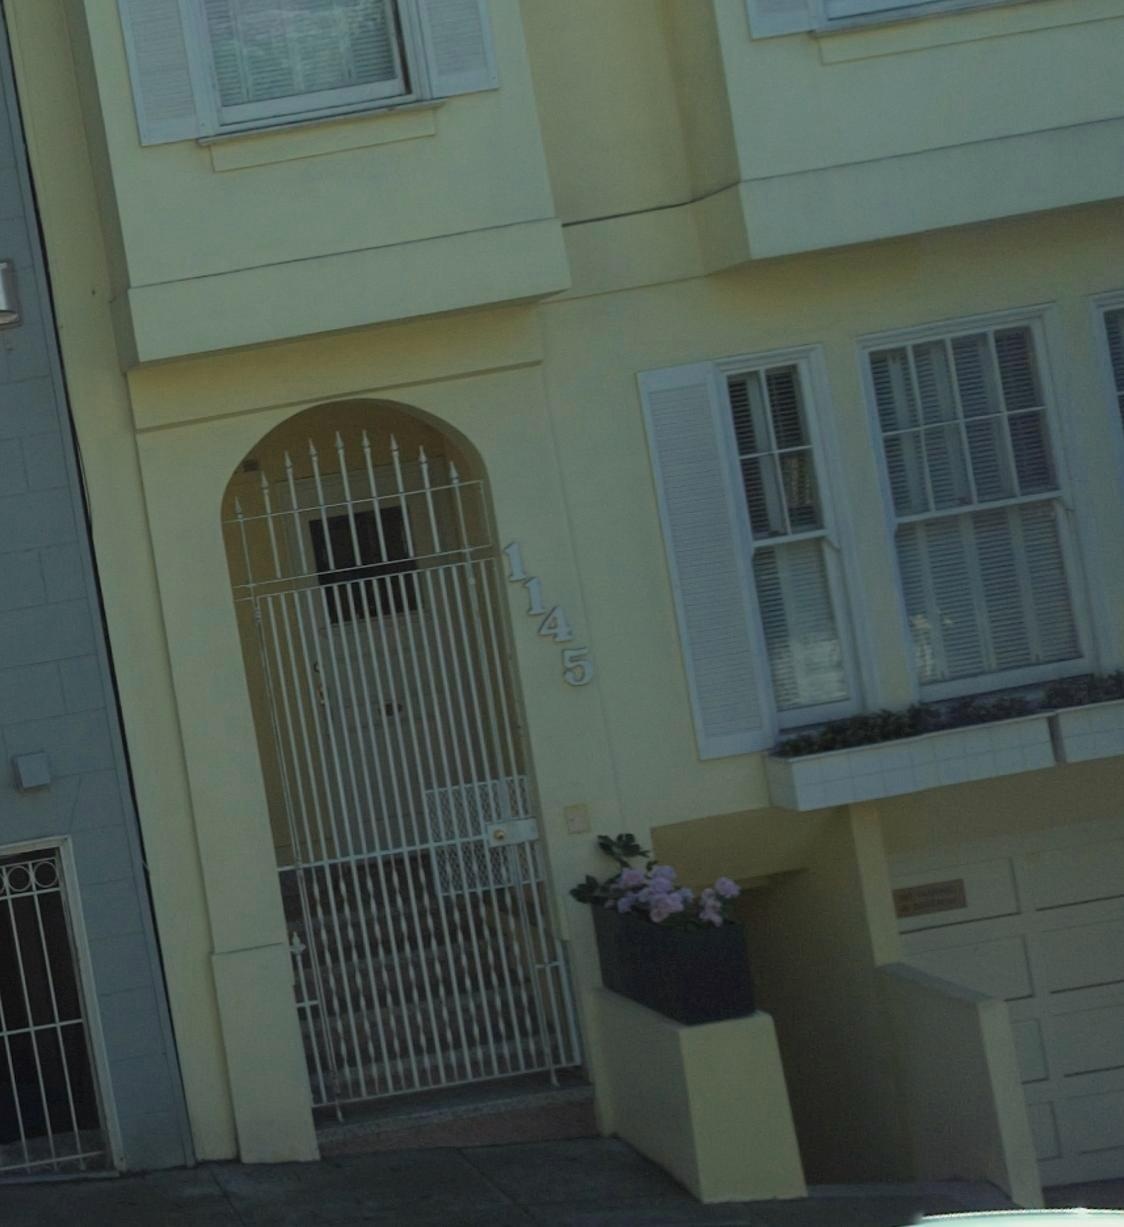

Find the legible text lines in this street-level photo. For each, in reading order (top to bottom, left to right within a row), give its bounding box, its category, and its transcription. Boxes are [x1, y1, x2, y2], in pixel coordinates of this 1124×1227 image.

[501, 533, 595, 690] StreetNumber: 1145